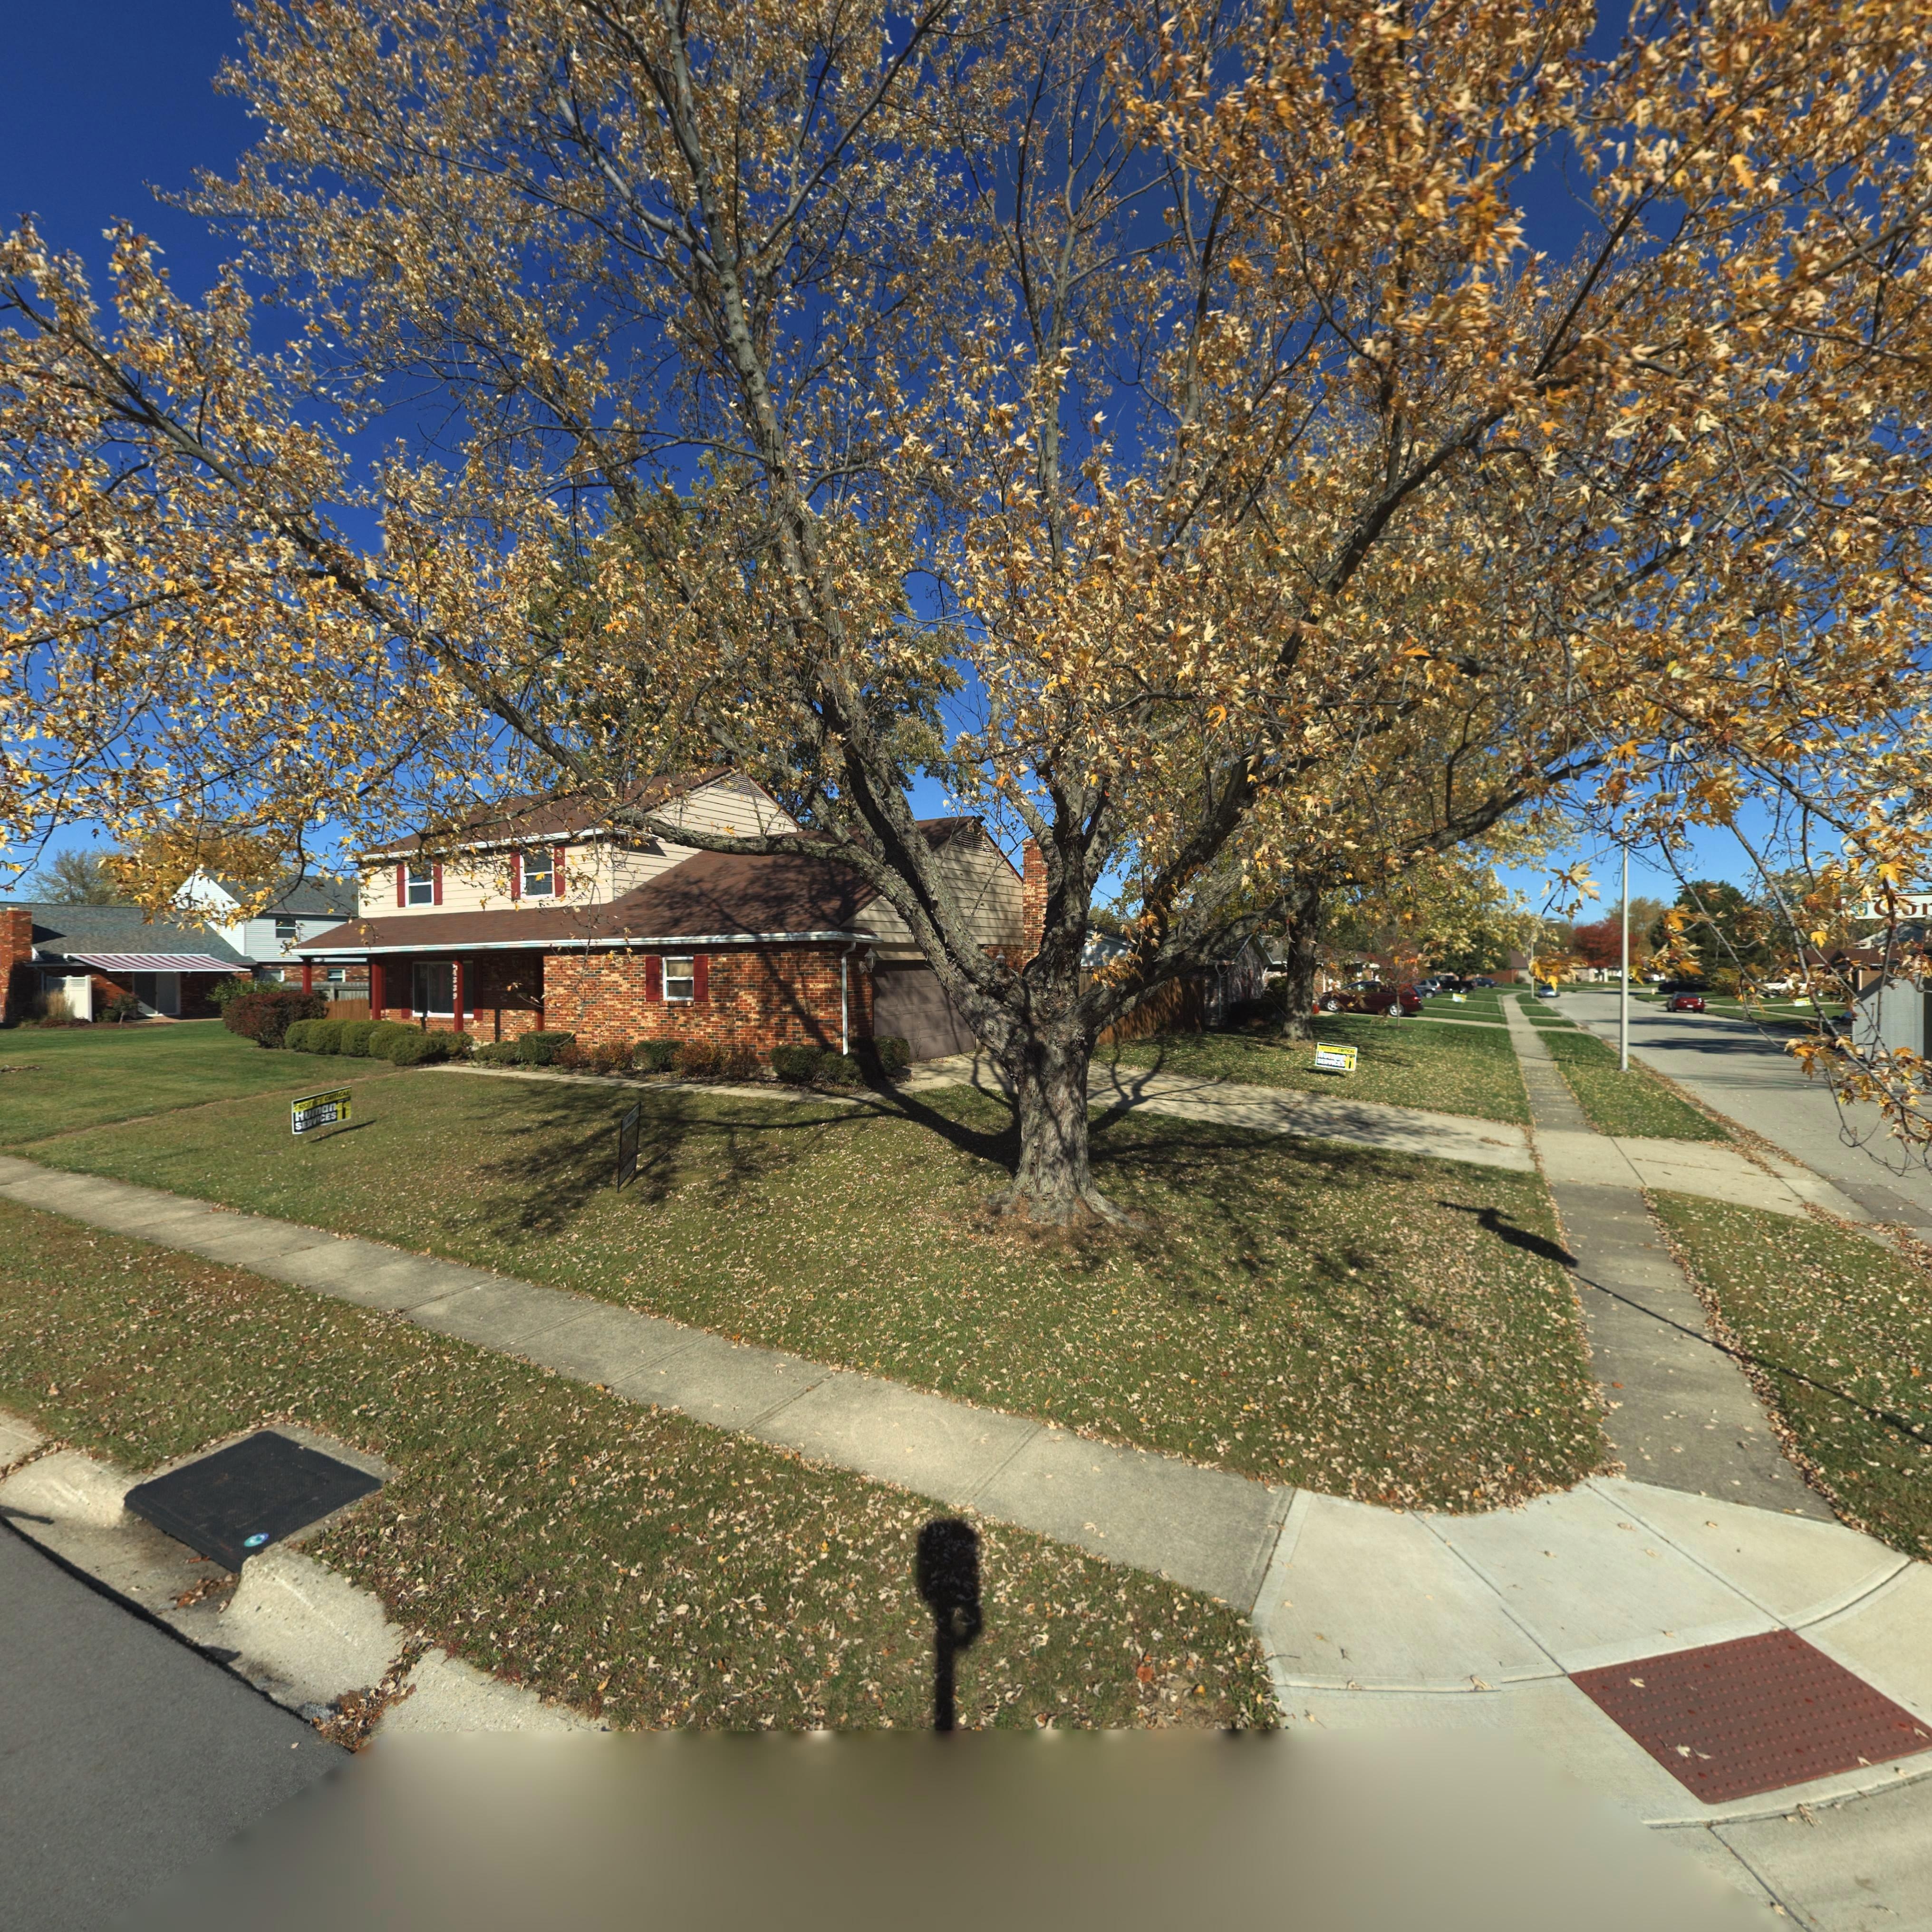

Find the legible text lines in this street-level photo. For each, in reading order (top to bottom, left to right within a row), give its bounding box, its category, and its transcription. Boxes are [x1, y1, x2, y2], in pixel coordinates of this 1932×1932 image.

[452, 968, 457, 1001] StreetNumber: 4339